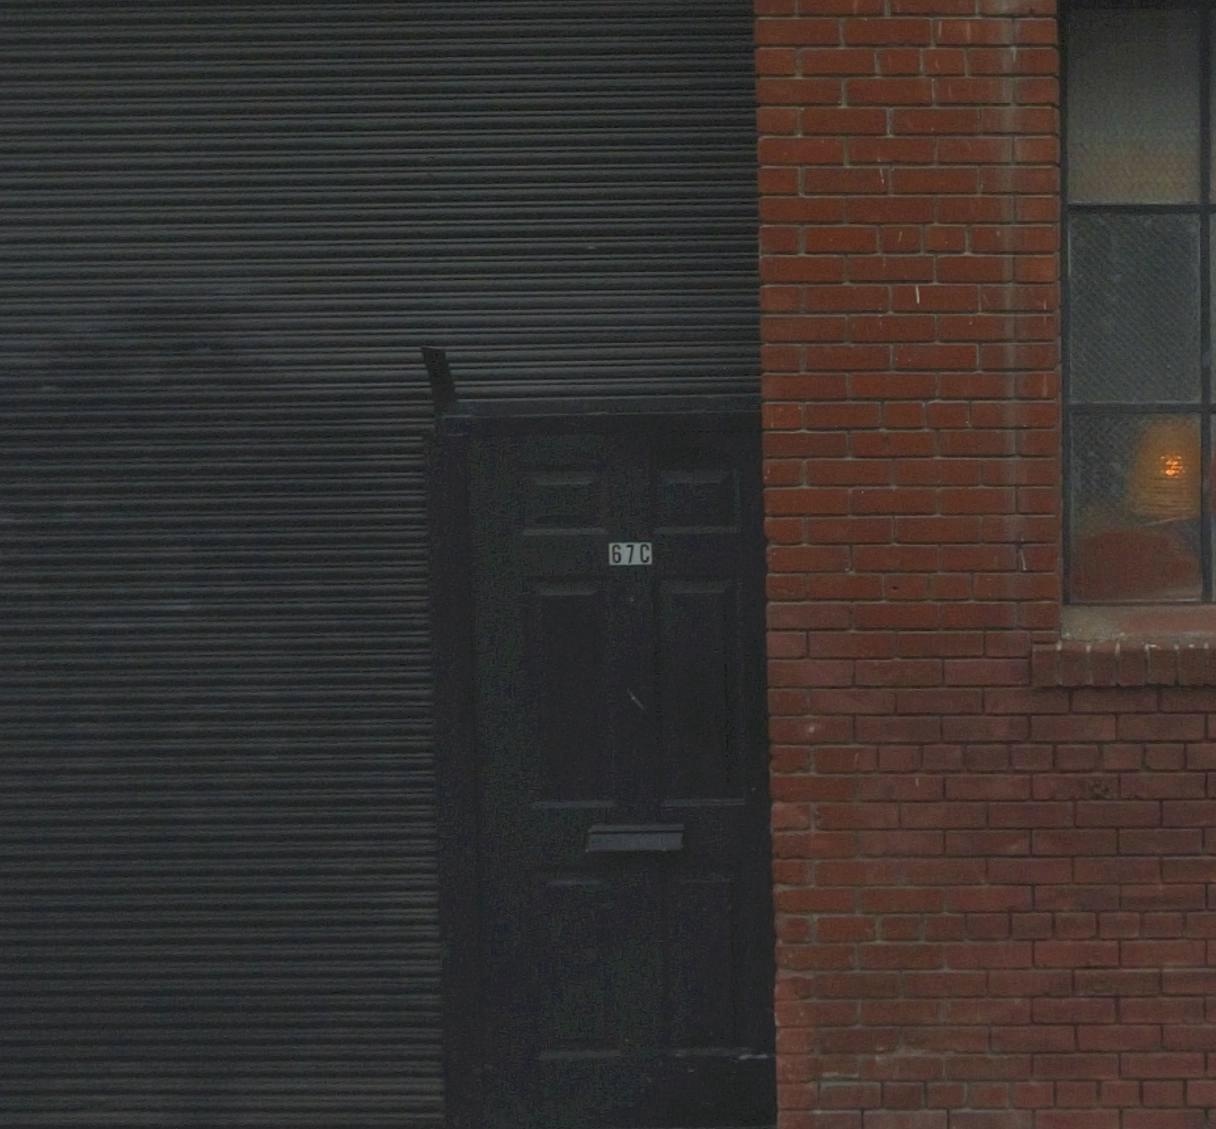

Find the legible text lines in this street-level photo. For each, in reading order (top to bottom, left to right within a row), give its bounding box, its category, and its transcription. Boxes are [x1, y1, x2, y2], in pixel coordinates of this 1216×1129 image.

[608, 541, 652, 567] StreetNumber: 67C